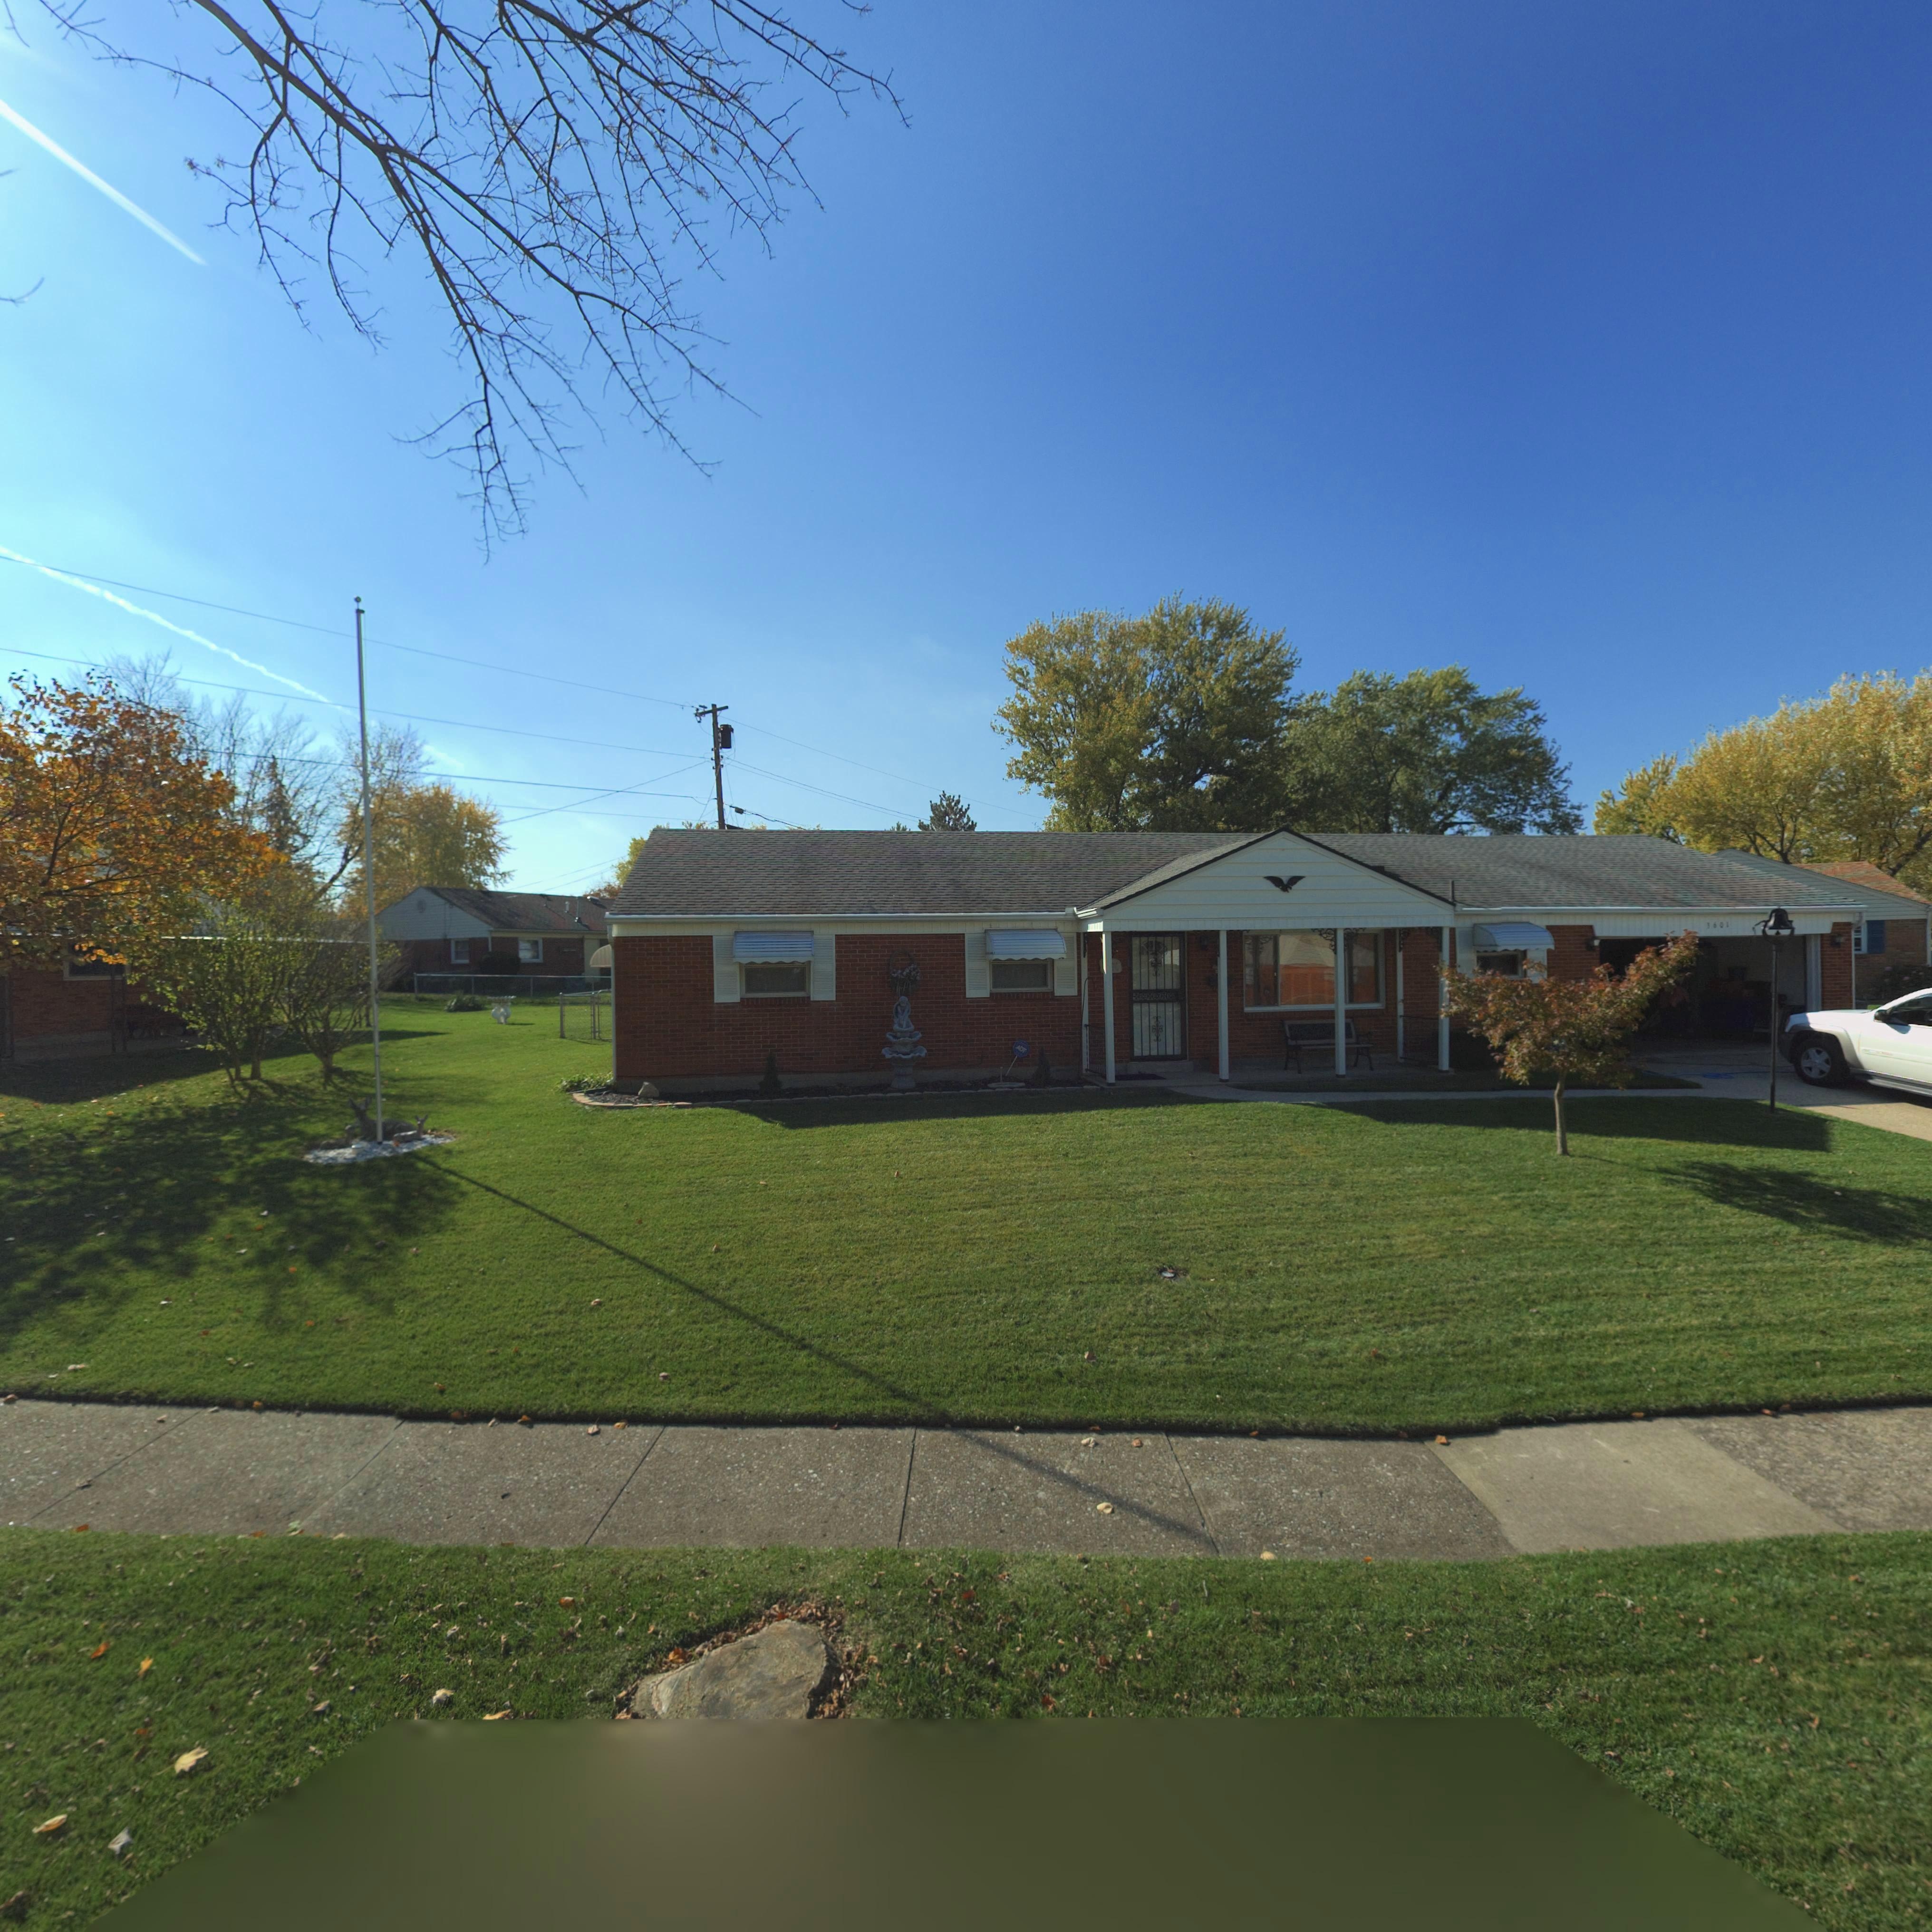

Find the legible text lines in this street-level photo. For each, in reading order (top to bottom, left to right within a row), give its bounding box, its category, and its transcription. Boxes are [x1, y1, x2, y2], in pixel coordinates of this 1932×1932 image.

[1705, 921, 1730, 930] StreetNumber: 3601
[1014, 1043, 1028, 1054] None: ADT